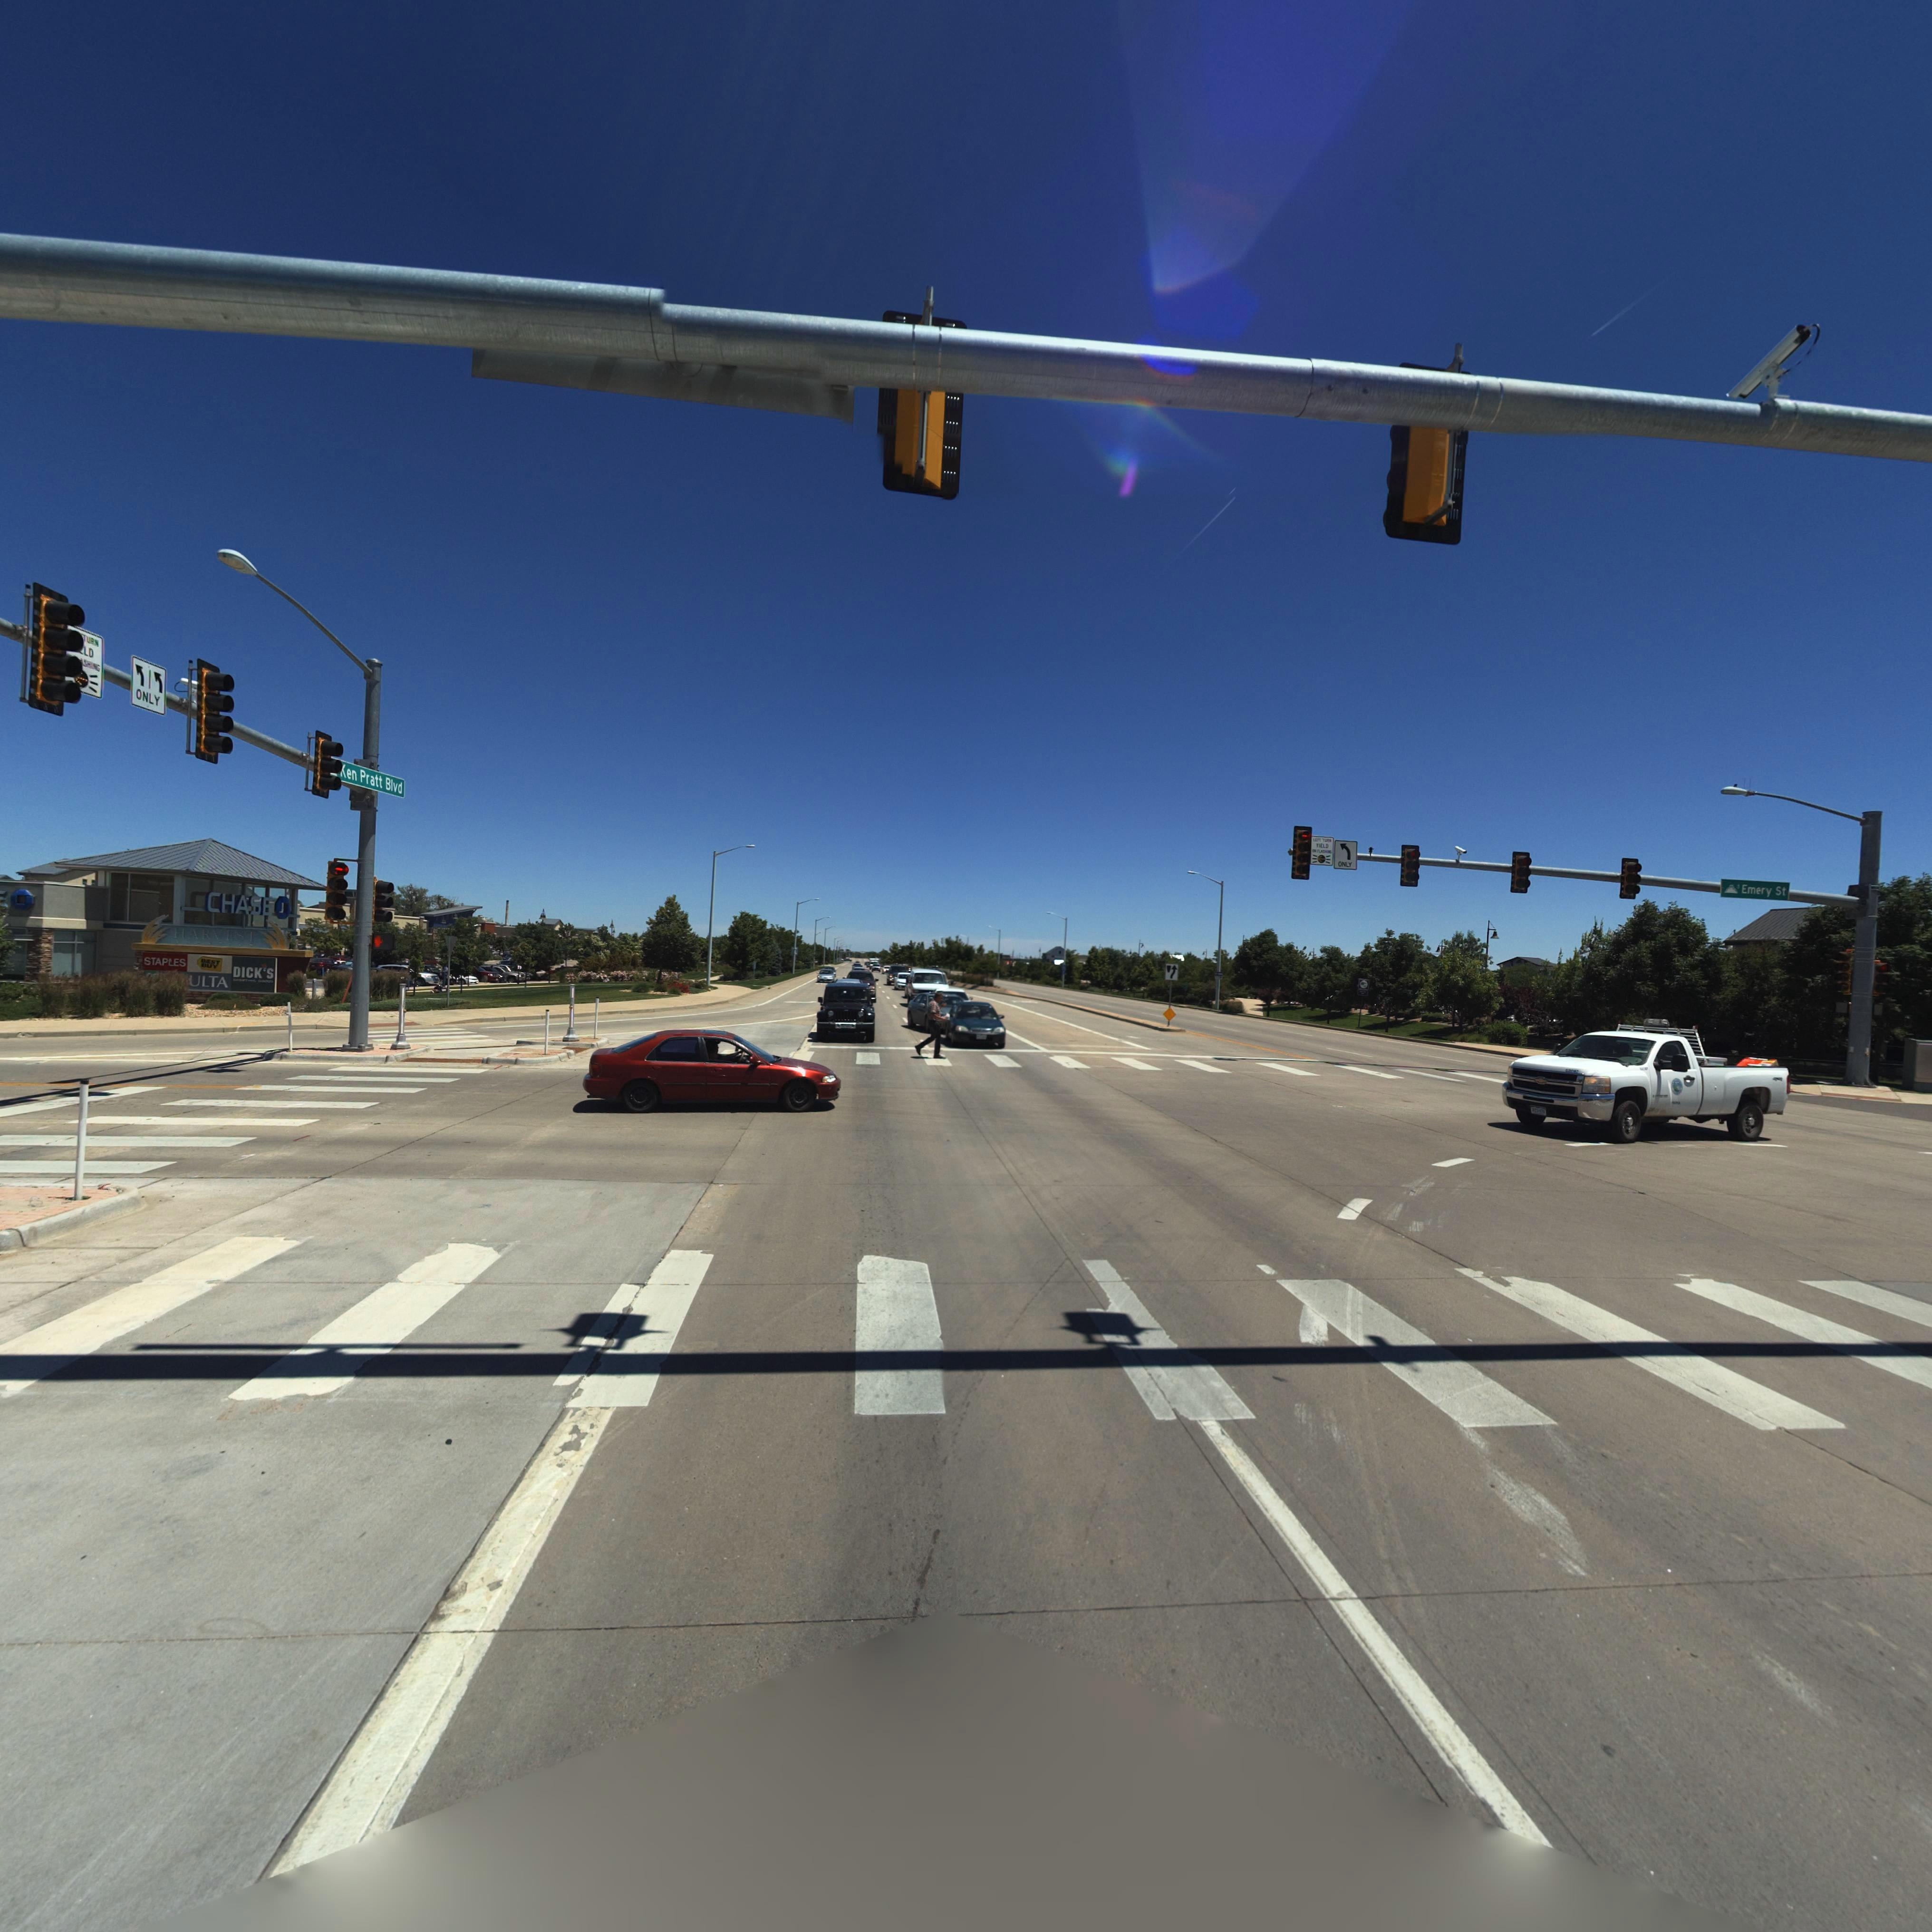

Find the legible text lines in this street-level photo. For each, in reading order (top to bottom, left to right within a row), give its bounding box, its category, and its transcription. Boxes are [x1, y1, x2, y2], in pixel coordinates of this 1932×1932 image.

[347, 768, 403, 794] StreetName: en Pratt Blvd
[1736, 883, 1786, 898] StreetName: S Emery St
[206, 891, 271, 916] BusinessName: CHASE
[174, 927, 258, 942] BusinessName: HARVEST
[175, 939, 254, 947] BusinessName: ****T**N
[143, 956, 186, 967] BusinessName: STAPLES
[202, 962, 218, 969] BusinessName: BUY
[201, 958, 220, 965] BusinessName: BEST
[232, 966, 274, 980] BusinessName: DICK*S
[188, 975, 229, 988] BusinessName: ULTA
[233, 978, 274, 983] BusinessName: SP*RT**G GOOD